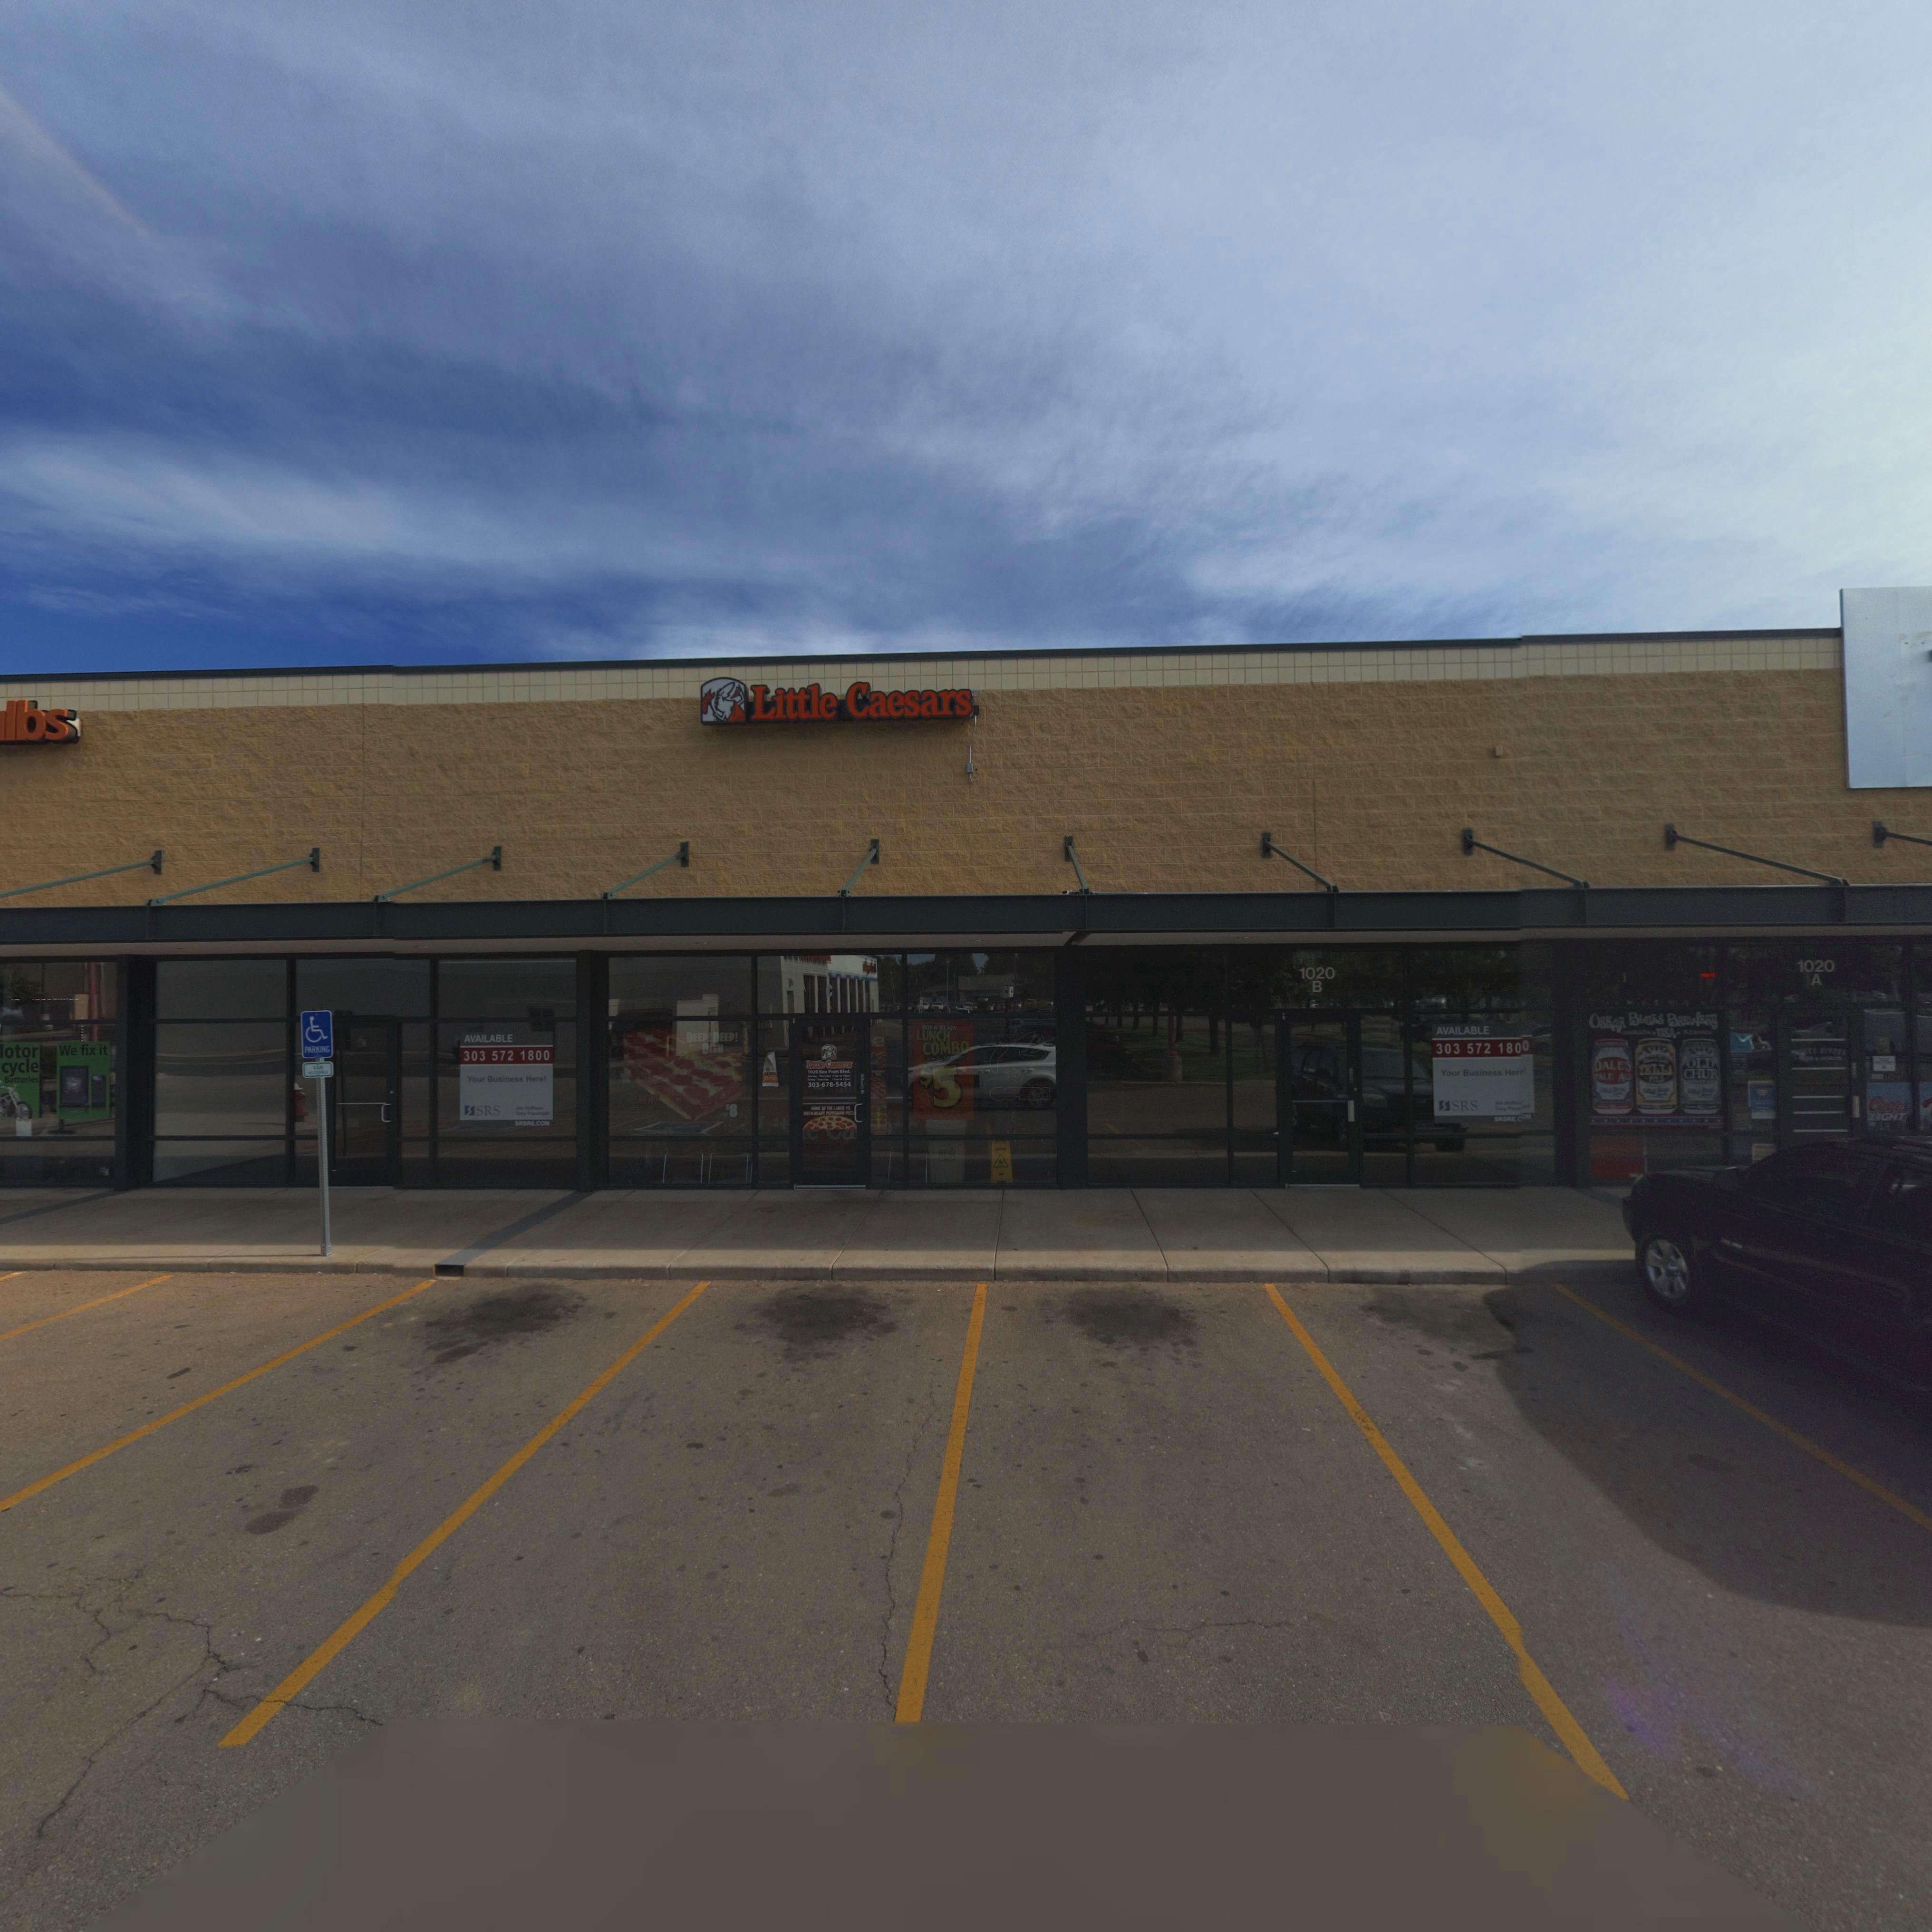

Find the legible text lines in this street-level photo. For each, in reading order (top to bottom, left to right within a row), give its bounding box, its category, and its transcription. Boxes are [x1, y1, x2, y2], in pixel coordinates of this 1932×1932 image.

[751, 682, 973, 720] BusinessName: Little Caesars
[6, 700, 69, 741] BusinessName: lbs
[1797, 959, 1835, 972] StreetNumber: 1020
[1298, 967, 1335, 979] StreetNumber: 1020
[806, 1060, 852, 1068] None: Little Caesars
[807, 1070, 818, 1074] StreetNumber: 1020
[819, 1069, 850, 1074] StreetName: K*n Pratt Blvd